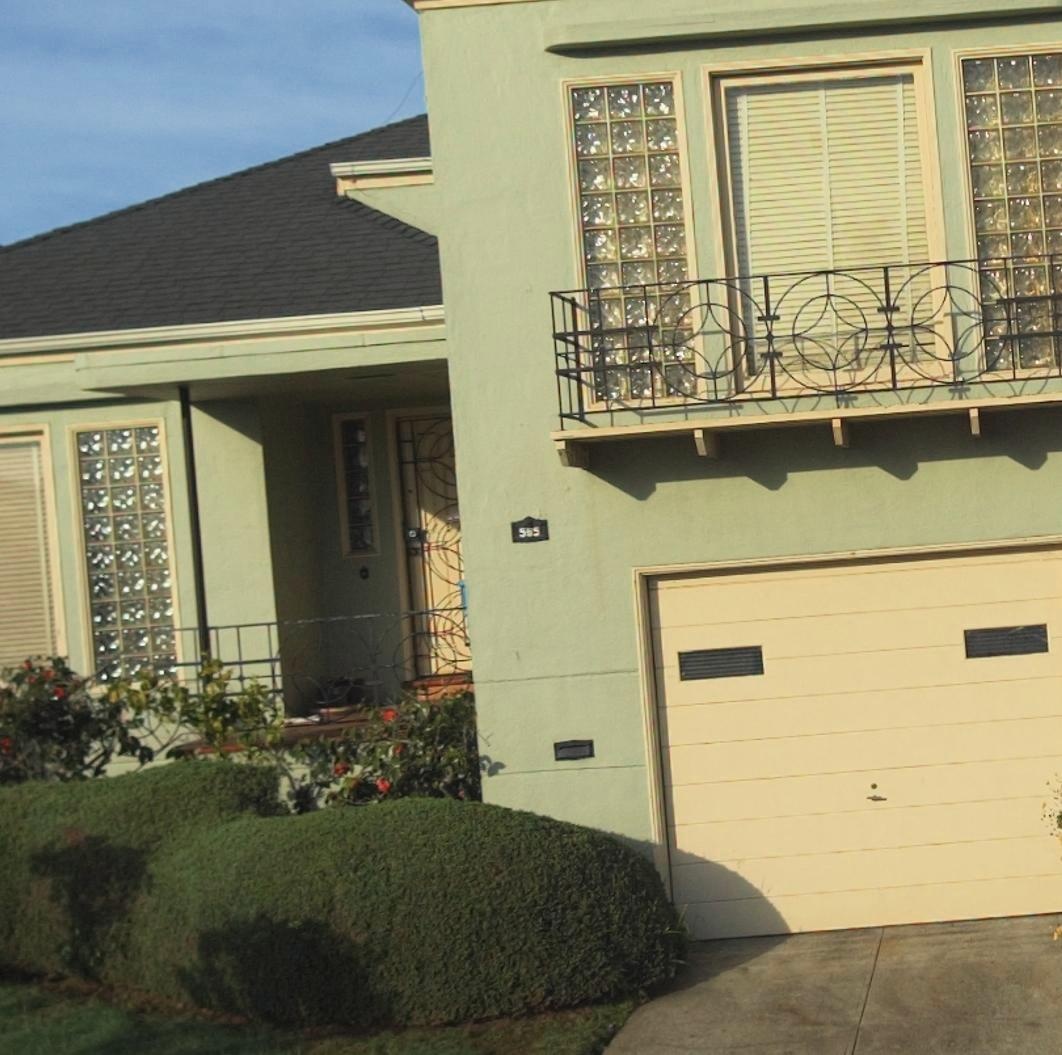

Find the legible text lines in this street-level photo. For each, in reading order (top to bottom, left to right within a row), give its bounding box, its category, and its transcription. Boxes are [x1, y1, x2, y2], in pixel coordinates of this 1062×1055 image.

[516, 524, 543, 540] StreetNumber: 565